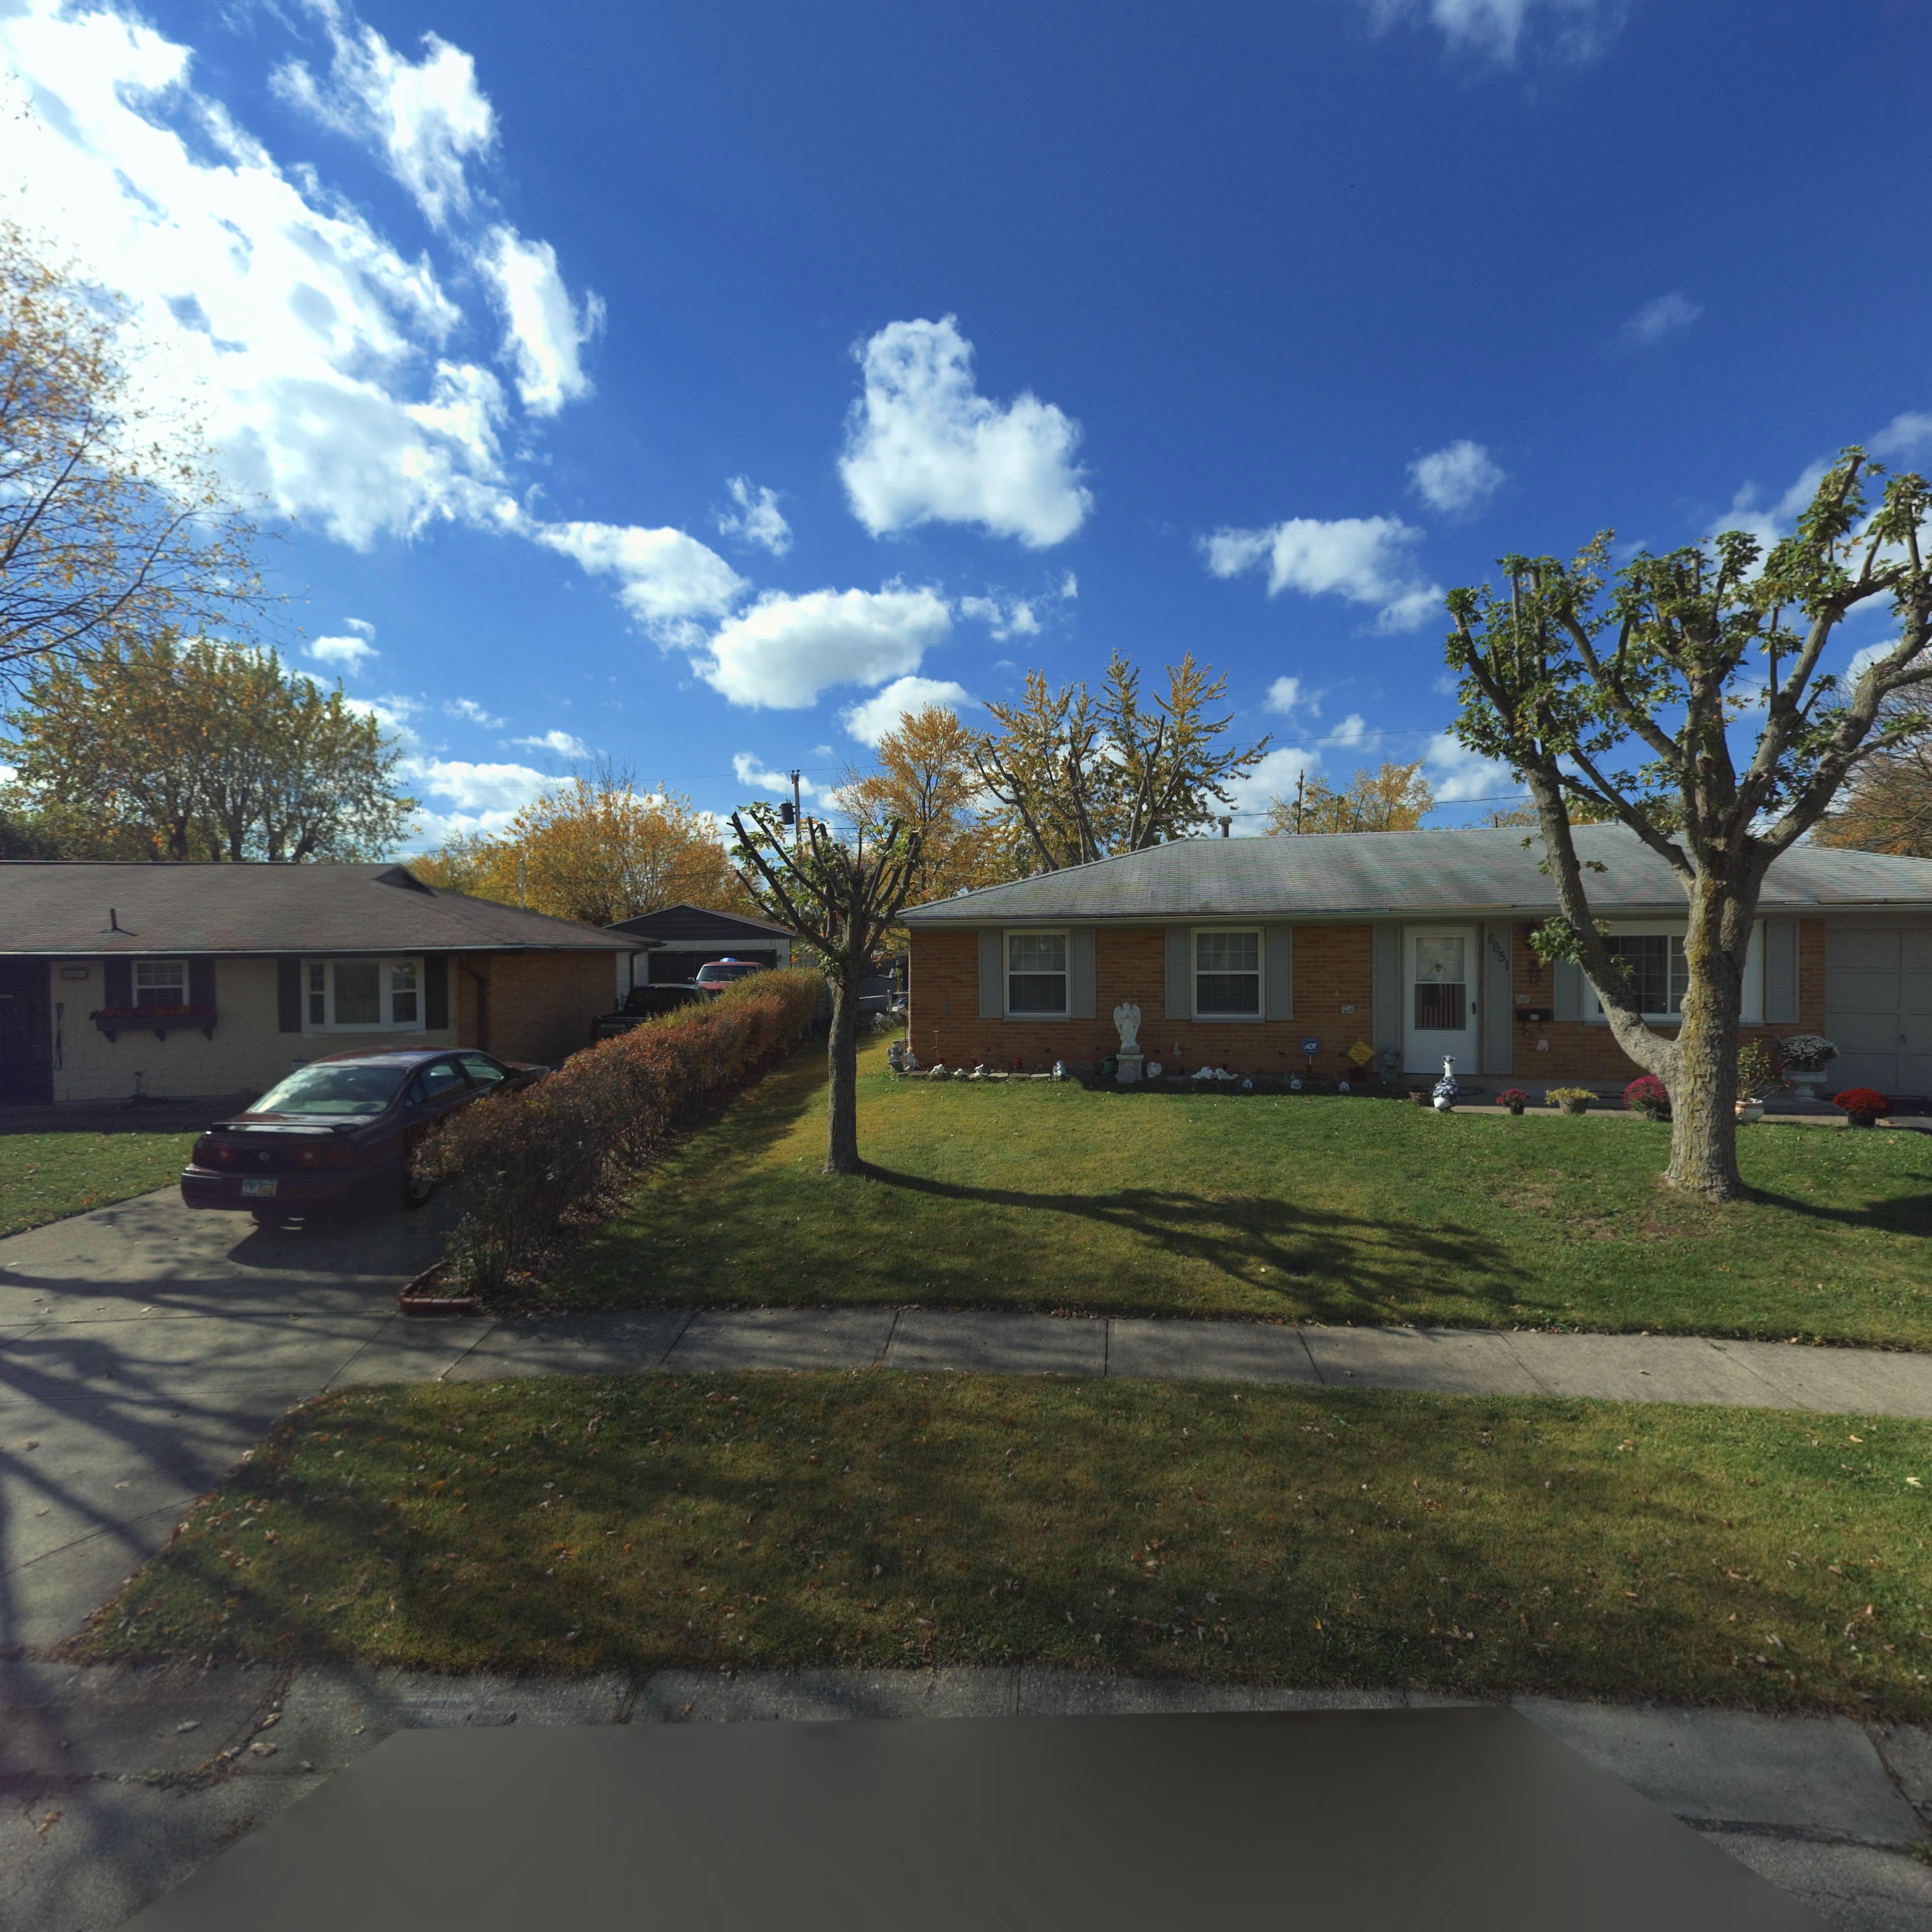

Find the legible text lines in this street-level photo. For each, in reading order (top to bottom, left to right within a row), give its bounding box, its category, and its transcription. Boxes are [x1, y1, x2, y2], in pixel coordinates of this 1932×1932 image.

[1487, 932, 1510, 972] StreetNumber: 6651